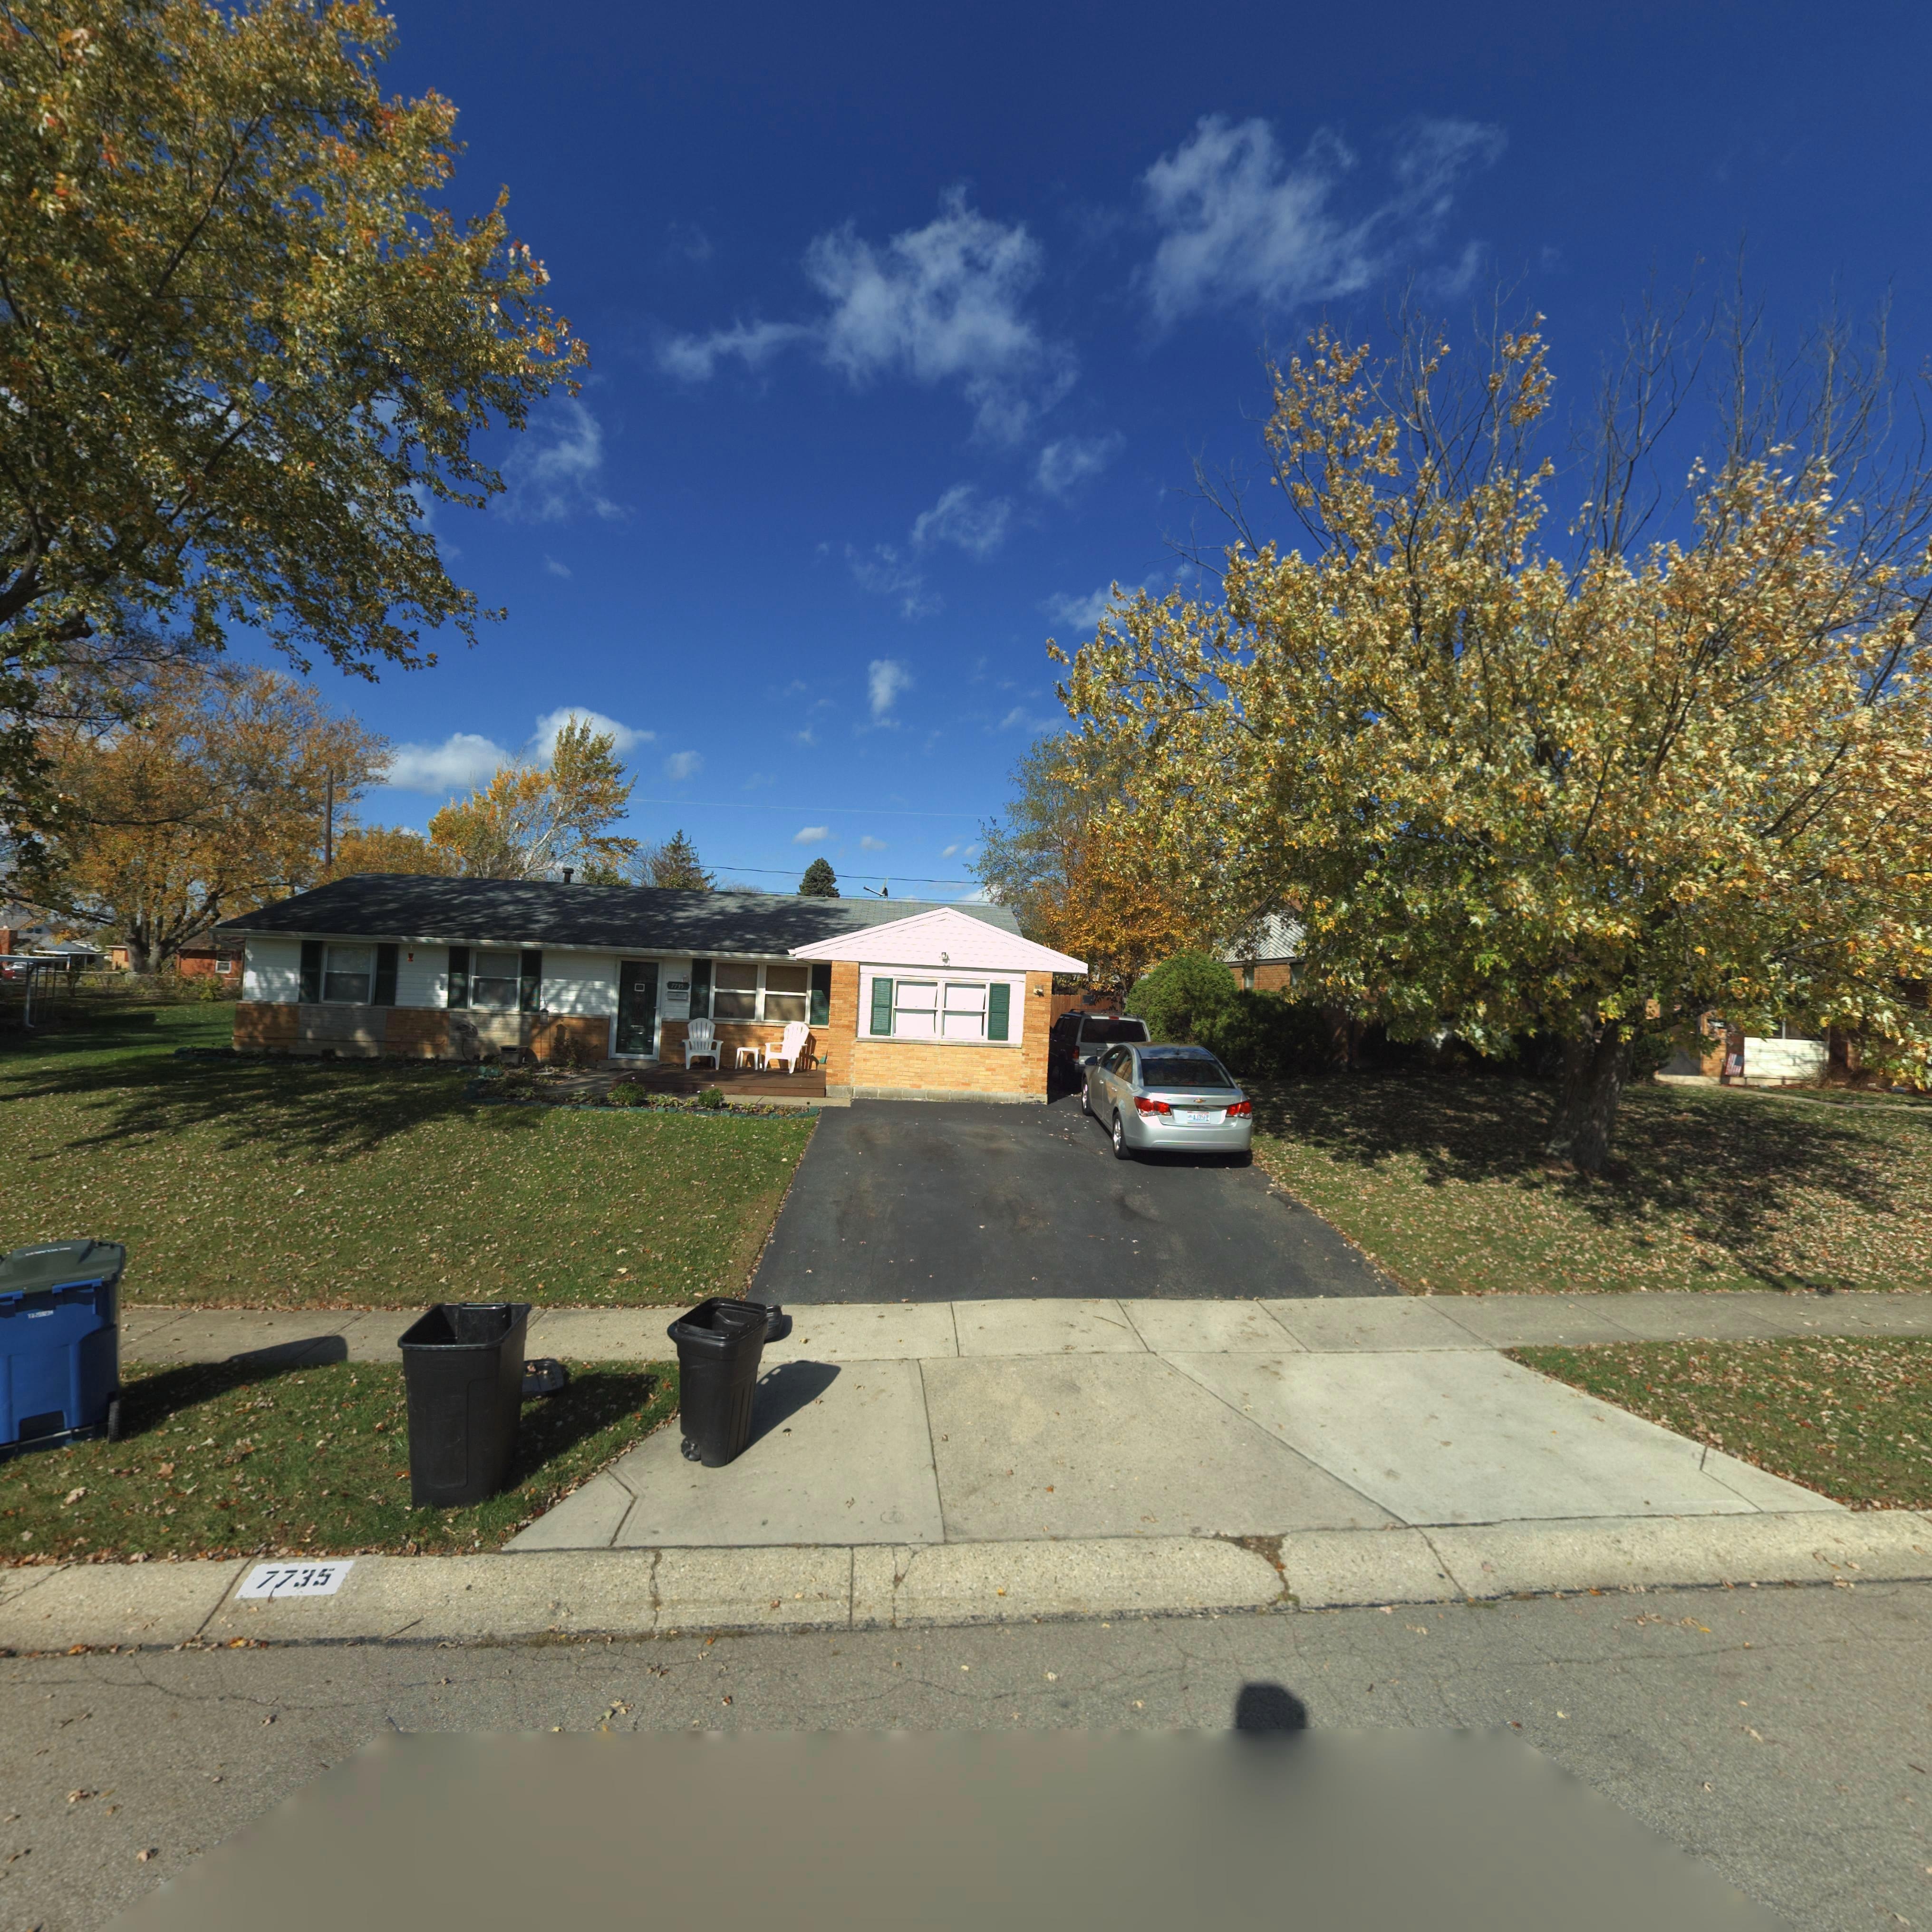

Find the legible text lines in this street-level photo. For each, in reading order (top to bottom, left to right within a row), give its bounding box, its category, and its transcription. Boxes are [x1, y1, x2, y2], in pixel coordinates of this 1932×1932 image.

[671, 983, 684, 989] StreetNumber: 7735
[254, 1567, 337, 1589] StreetNumber: 7735